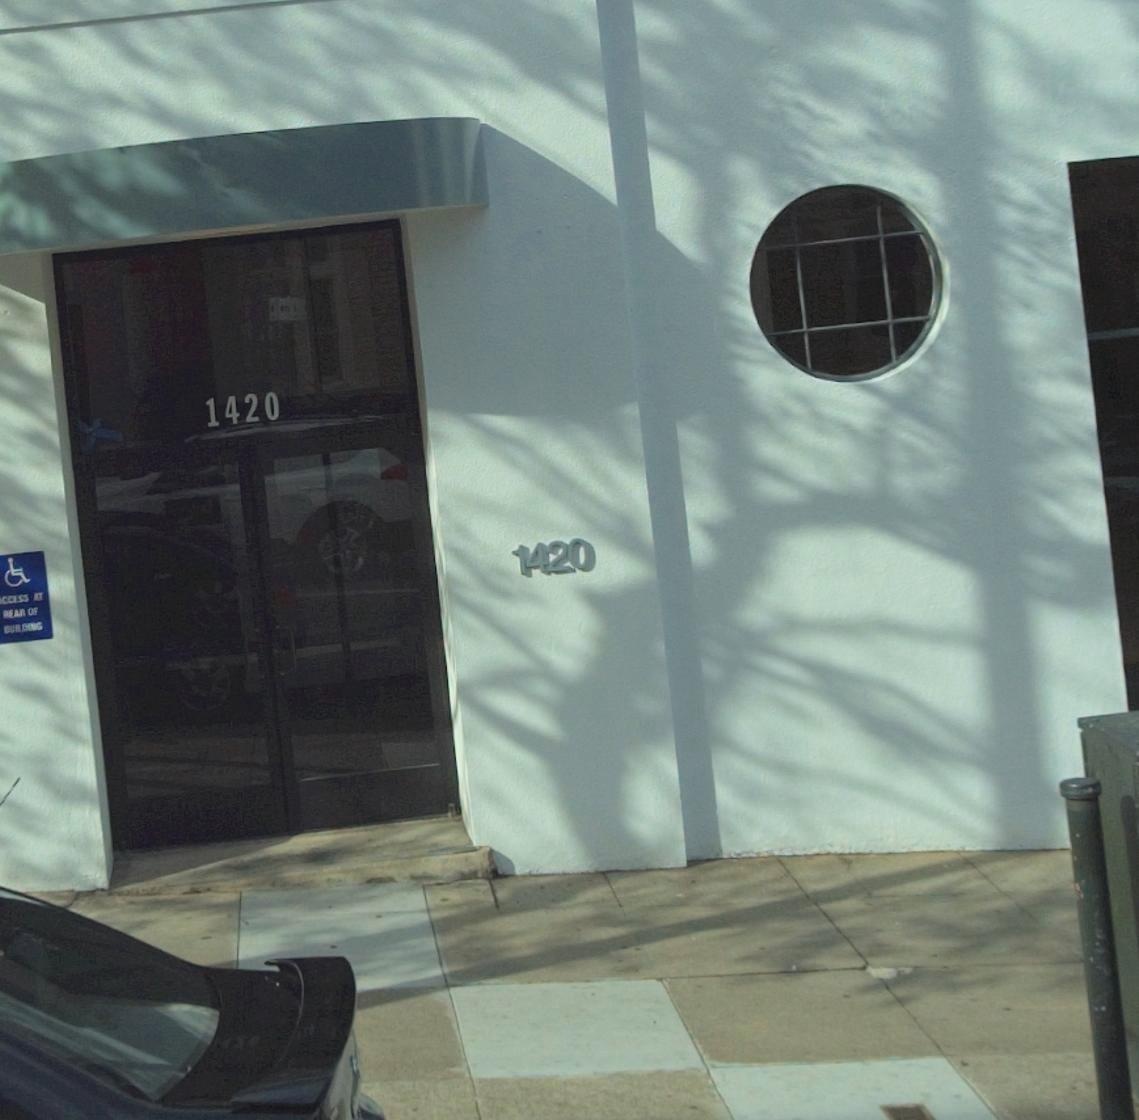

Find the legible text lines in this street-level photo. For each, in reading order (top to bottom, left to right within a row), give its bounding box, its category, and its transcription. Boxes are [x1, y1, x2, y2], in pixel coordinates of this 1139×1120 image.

[203, 388, 283, 430] StreetNumber: 1420
[508, 534, 596, 580] StreetNumber: 1420
[0, 589, 46, 607] None: CCESS AT
[0, 604, 41, 622] None: REAR OF
[1, 618, 45, 637] None: BUILDING